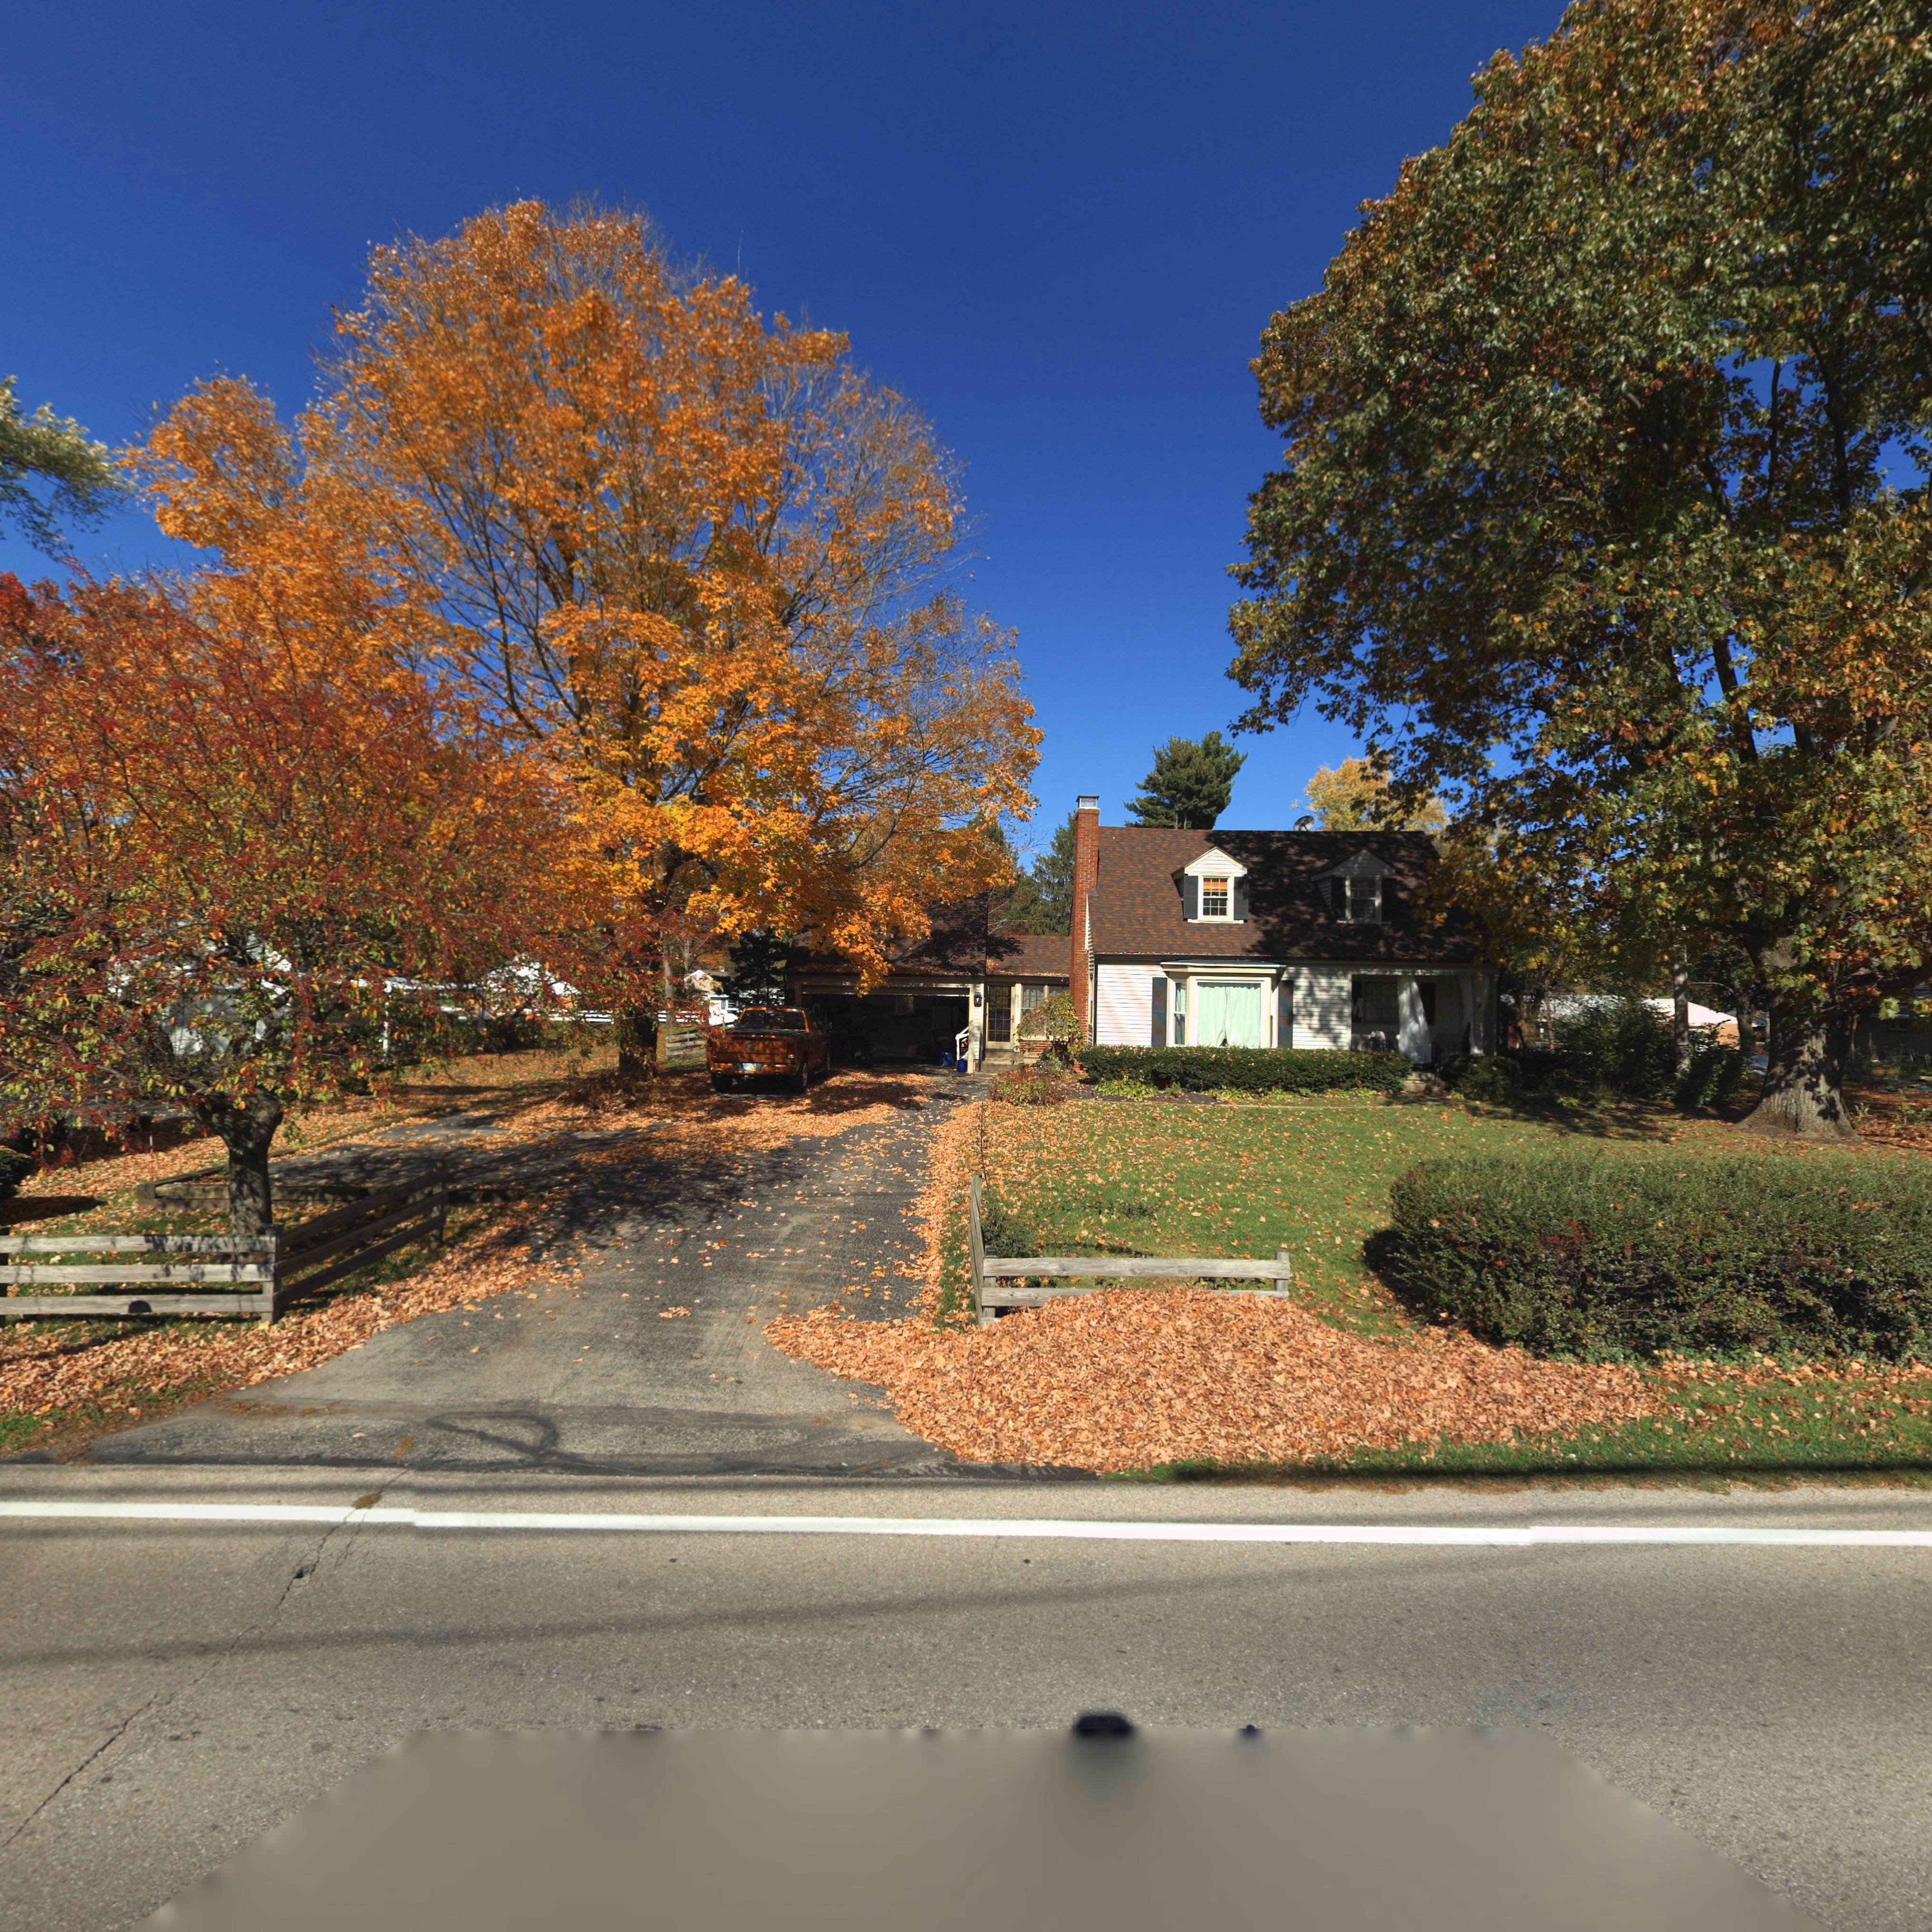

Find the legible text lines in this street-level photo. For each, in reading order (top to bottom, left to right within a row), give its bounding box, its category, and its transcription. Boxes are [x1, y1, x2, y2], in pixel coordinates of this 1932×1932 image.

[1016, 994, 1020, 1009] StreetNumber: 123